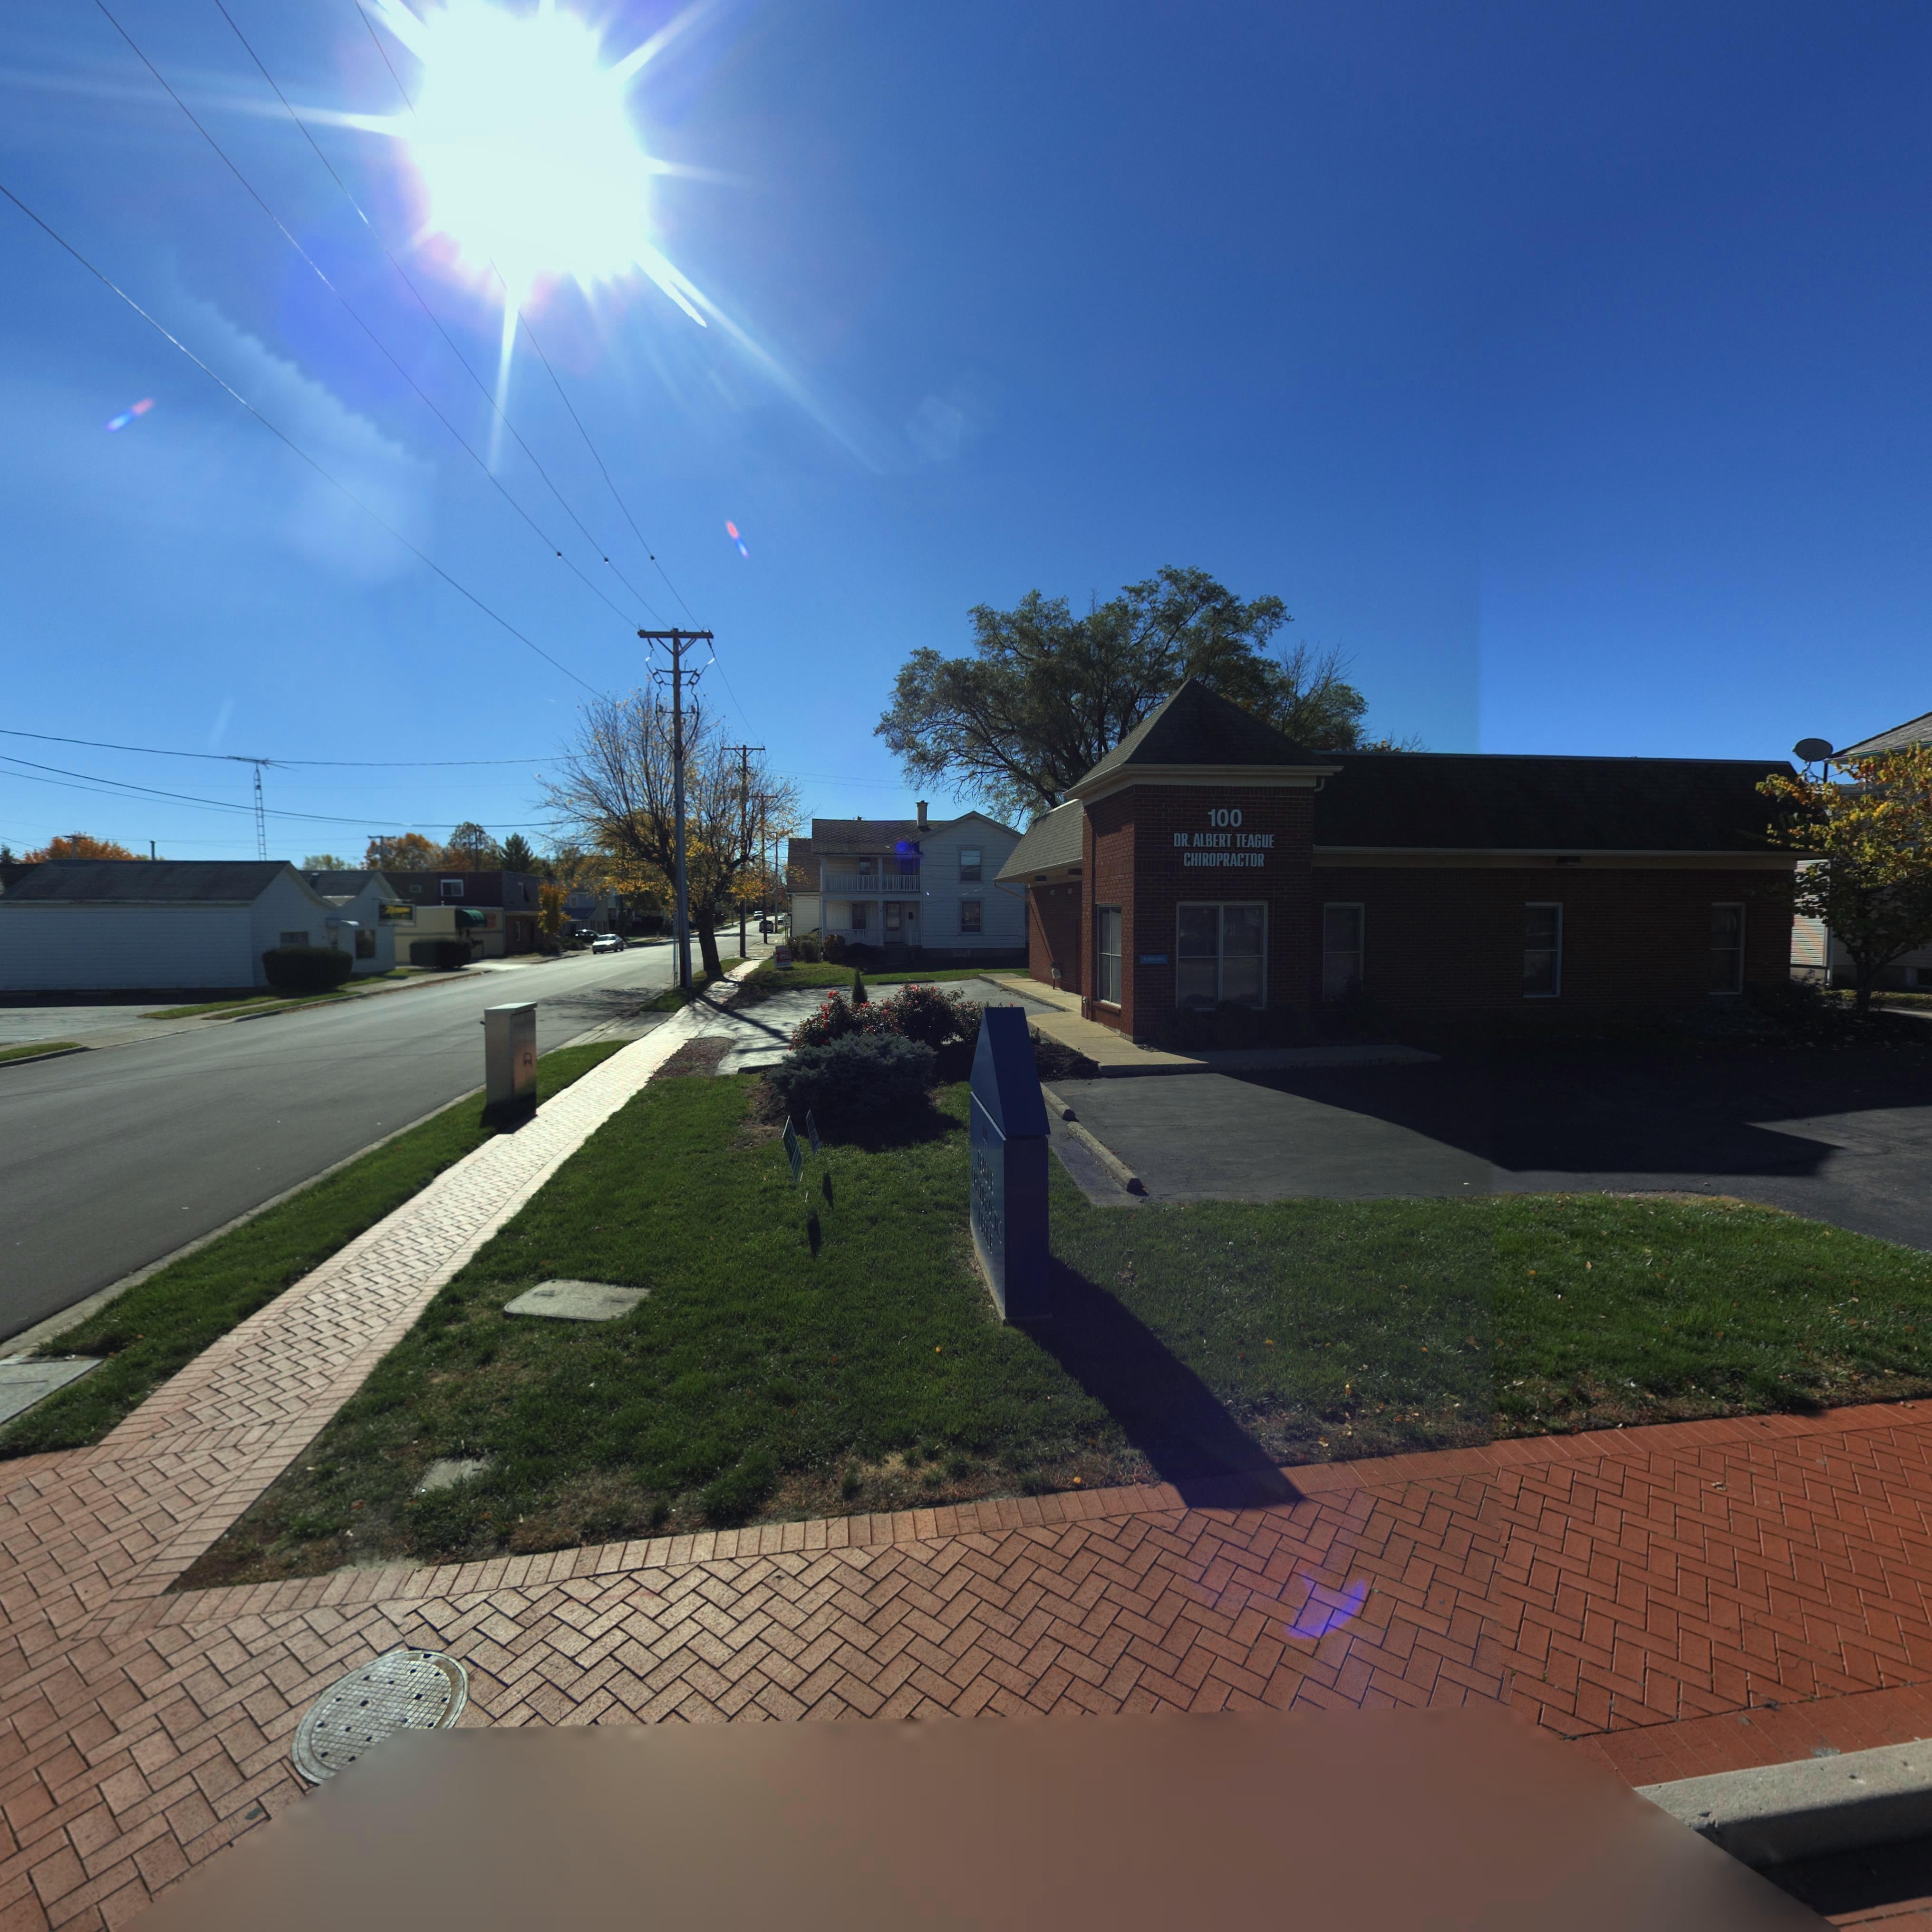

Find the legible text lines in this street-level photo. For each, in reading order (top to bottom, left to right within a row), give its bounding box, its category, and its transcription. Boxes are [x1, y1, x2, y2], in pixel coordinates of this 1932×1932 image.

[1207, 808, 1242, 828] StreetNumber: 100
[1172, 832, 1276, 849] BusinessName: DR. ALBERT TEAGUE
[1182, 852, 1265, 868] BusinessName: CHIROPRACTOR